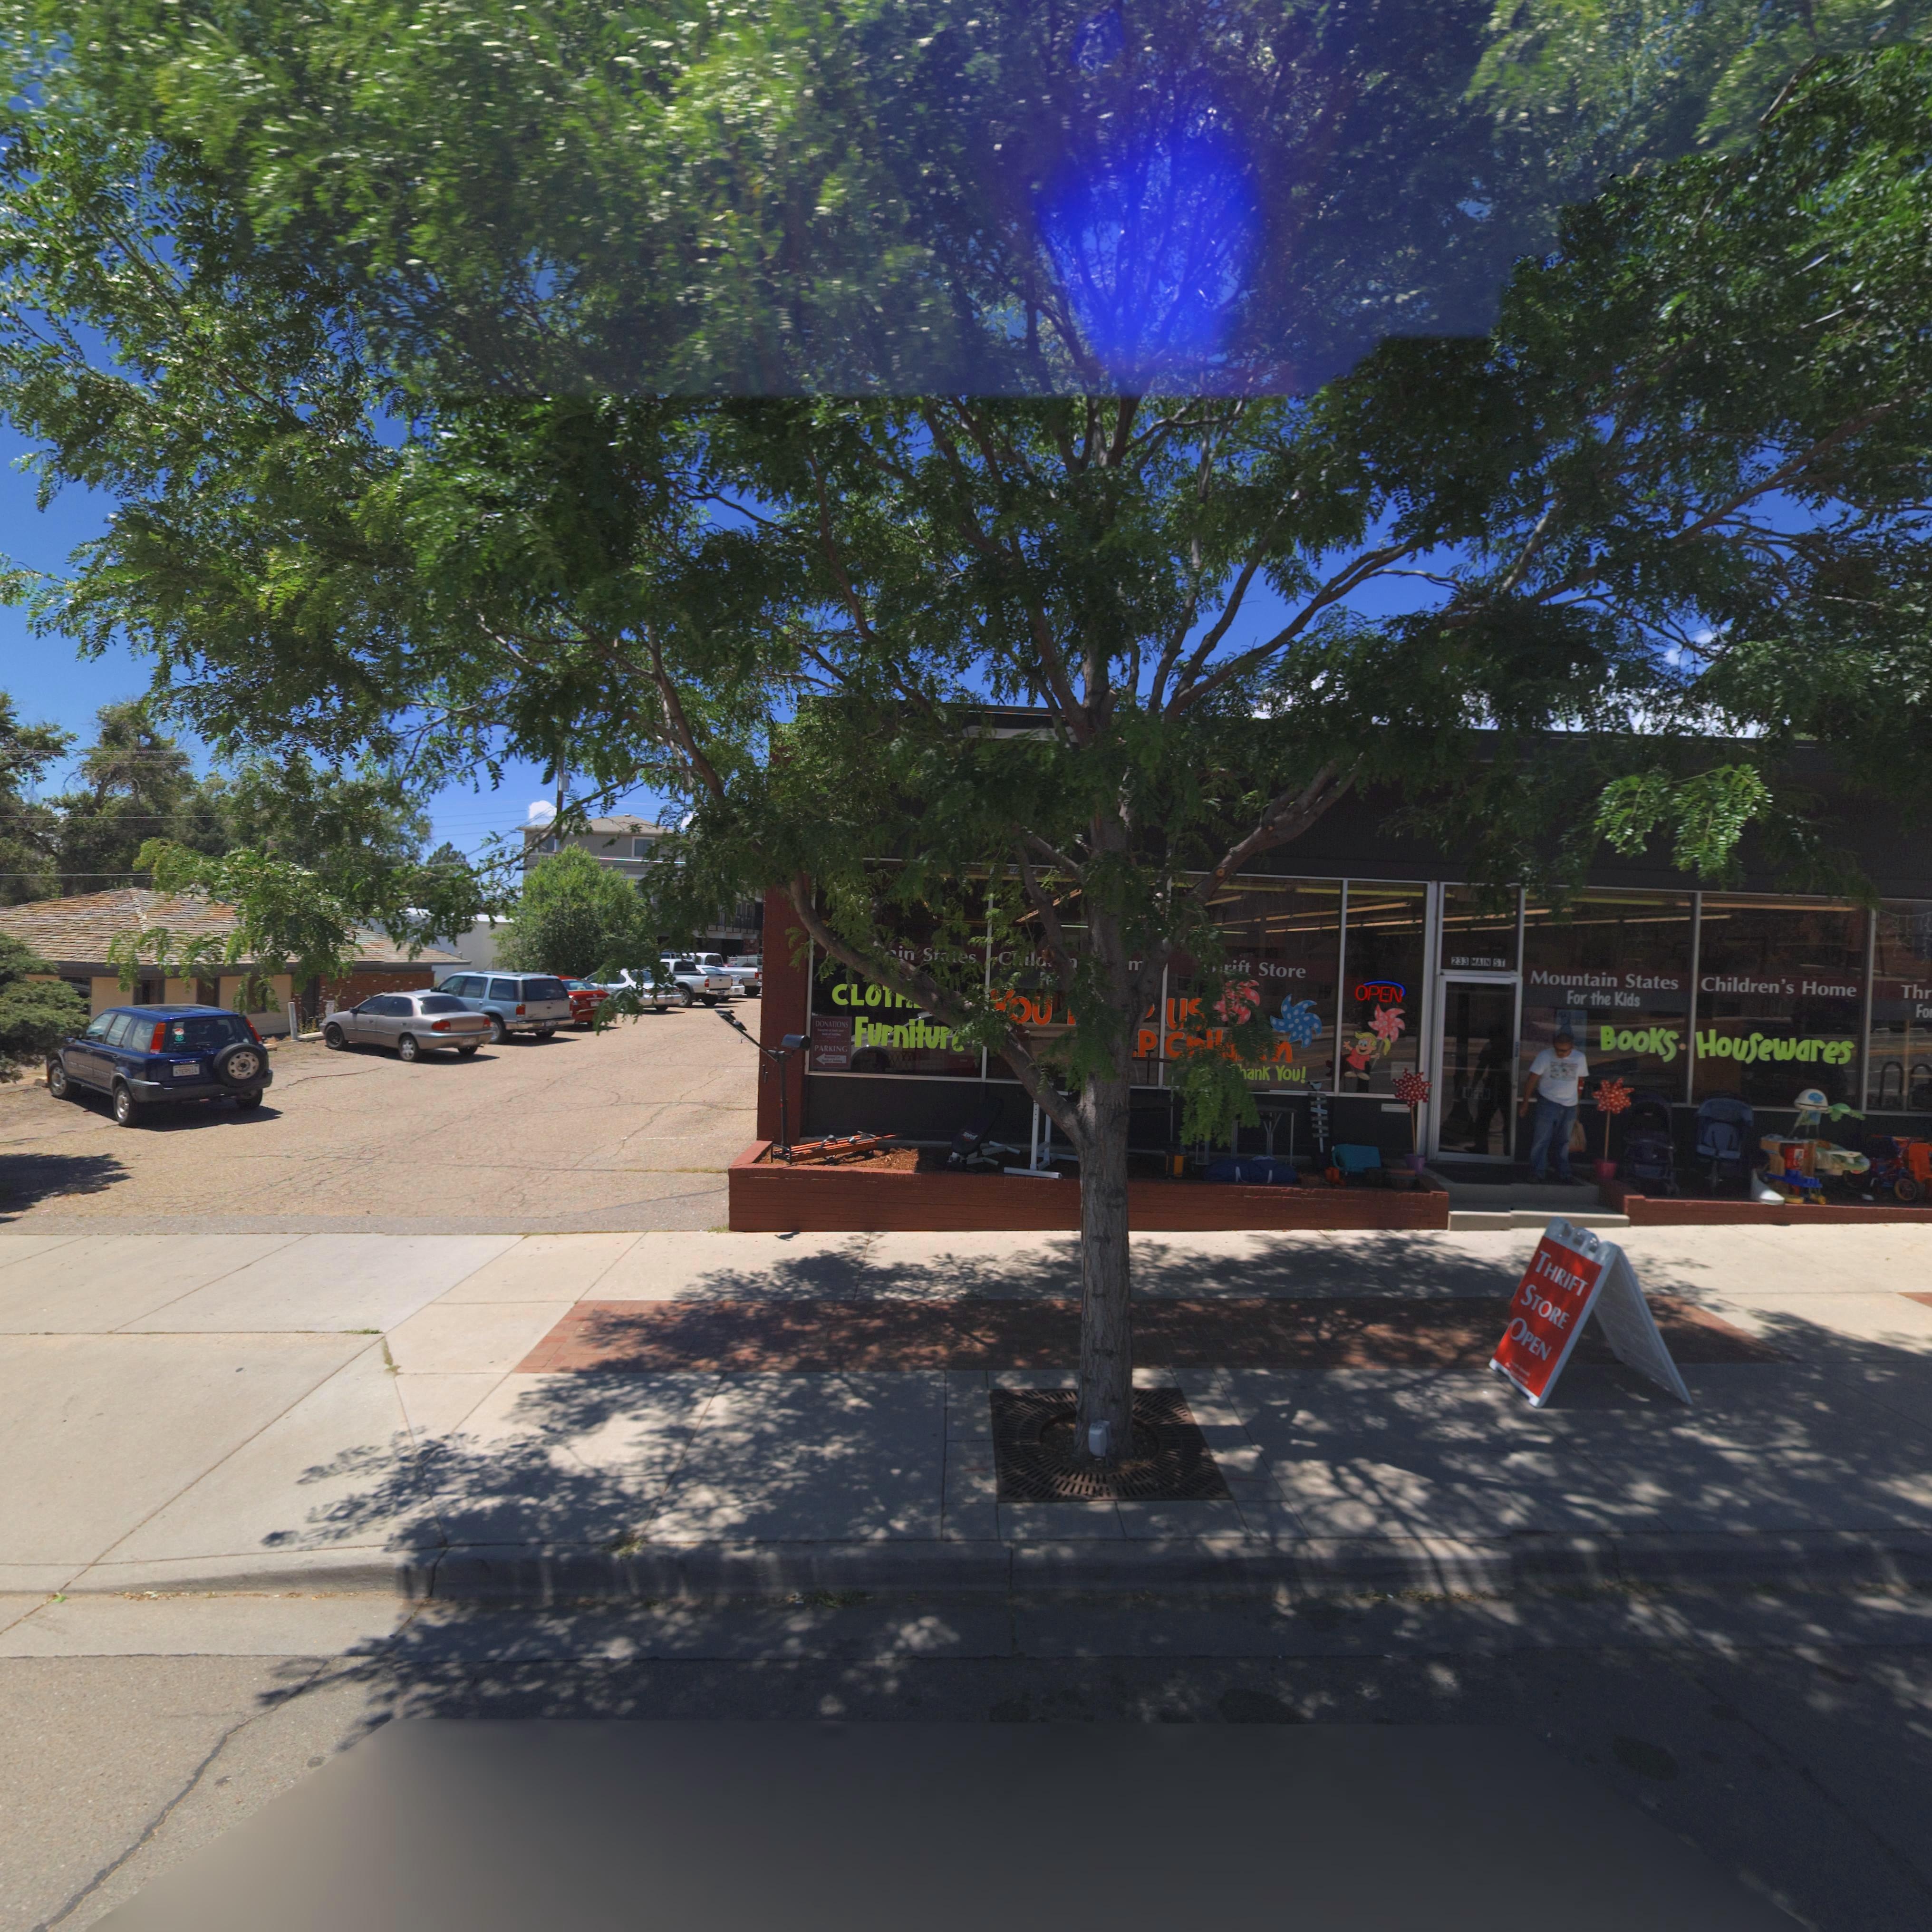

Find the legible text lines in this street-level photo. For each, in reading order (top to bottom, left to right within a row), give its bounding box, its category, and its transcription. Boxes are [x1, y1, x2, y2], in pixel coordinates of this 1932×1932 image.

[1451, 956, 1468, 965] StreetNumber: 233
[1470, 957, 1505, 966] StreetName: MAIN ST
[1531, 970, 1678, 989] BusinessName: Mountain States